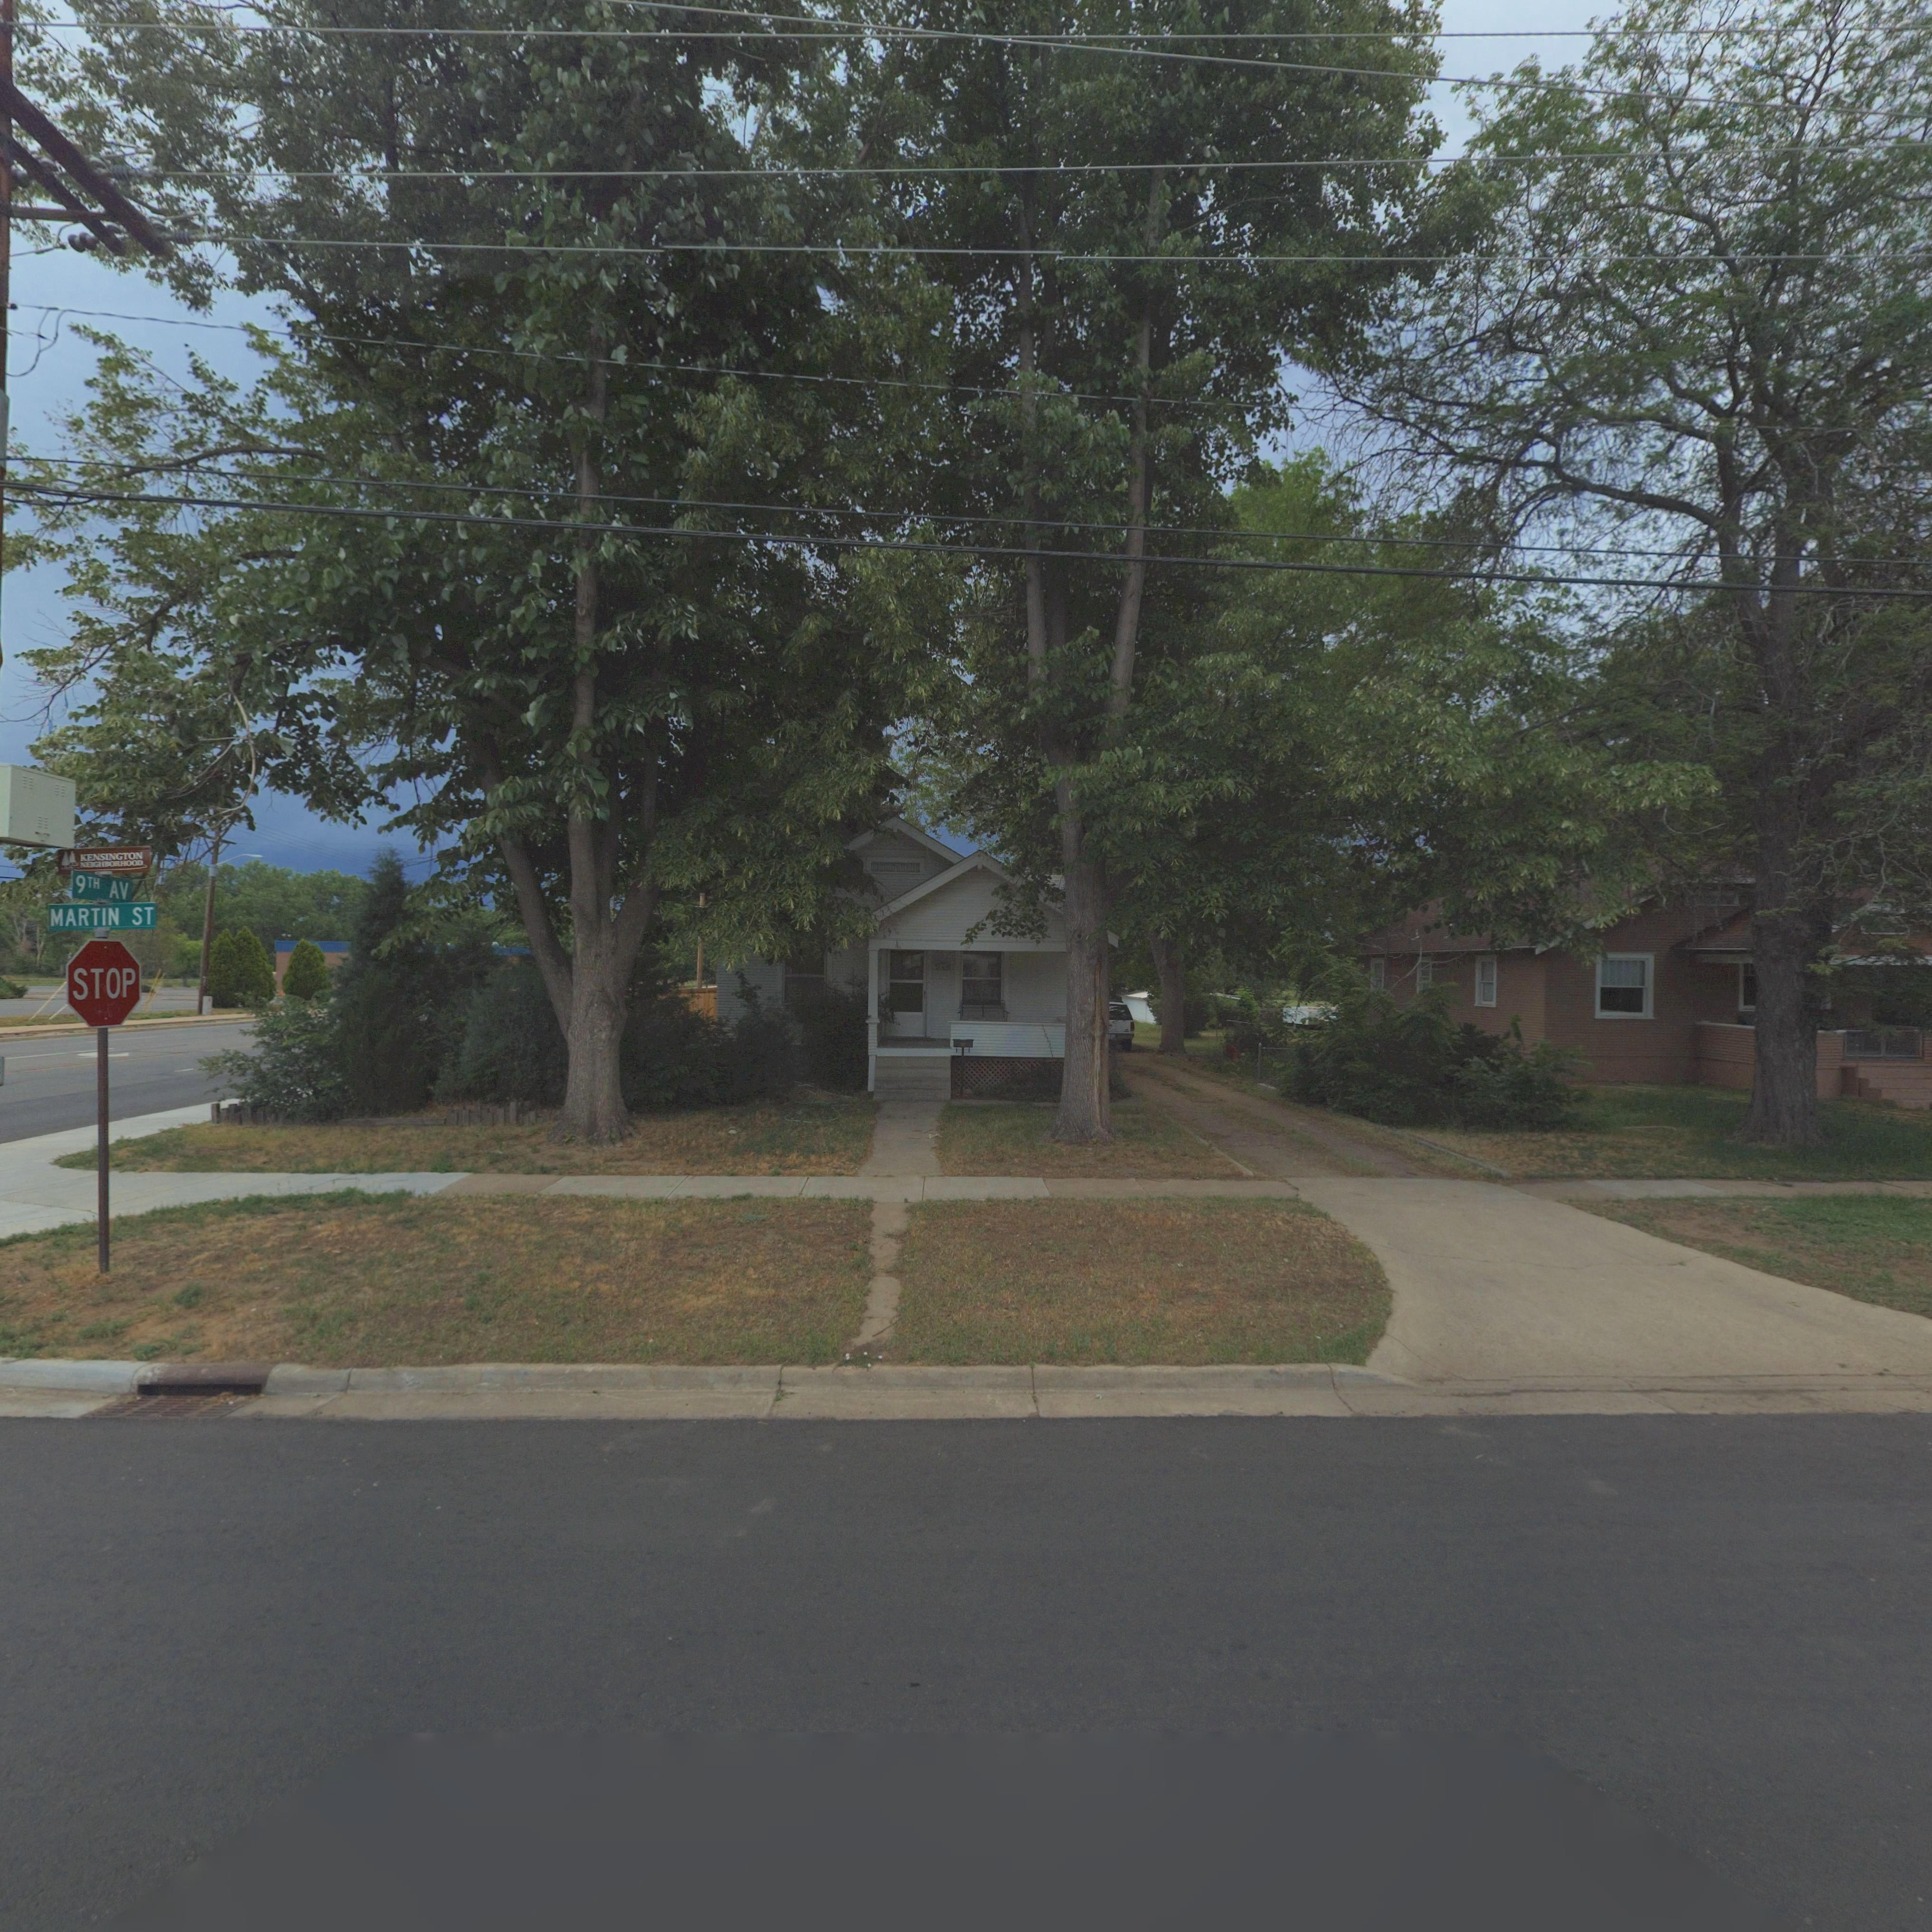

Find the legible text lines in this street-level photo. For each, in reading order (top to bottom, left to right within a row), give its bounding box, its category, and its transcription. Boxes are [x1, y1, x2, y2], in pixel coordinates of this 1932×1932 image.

[75, 874, 129, 900] StreetName: 9TH AV 
[50, 906, 154, 927] StreetName: MARTIN ST